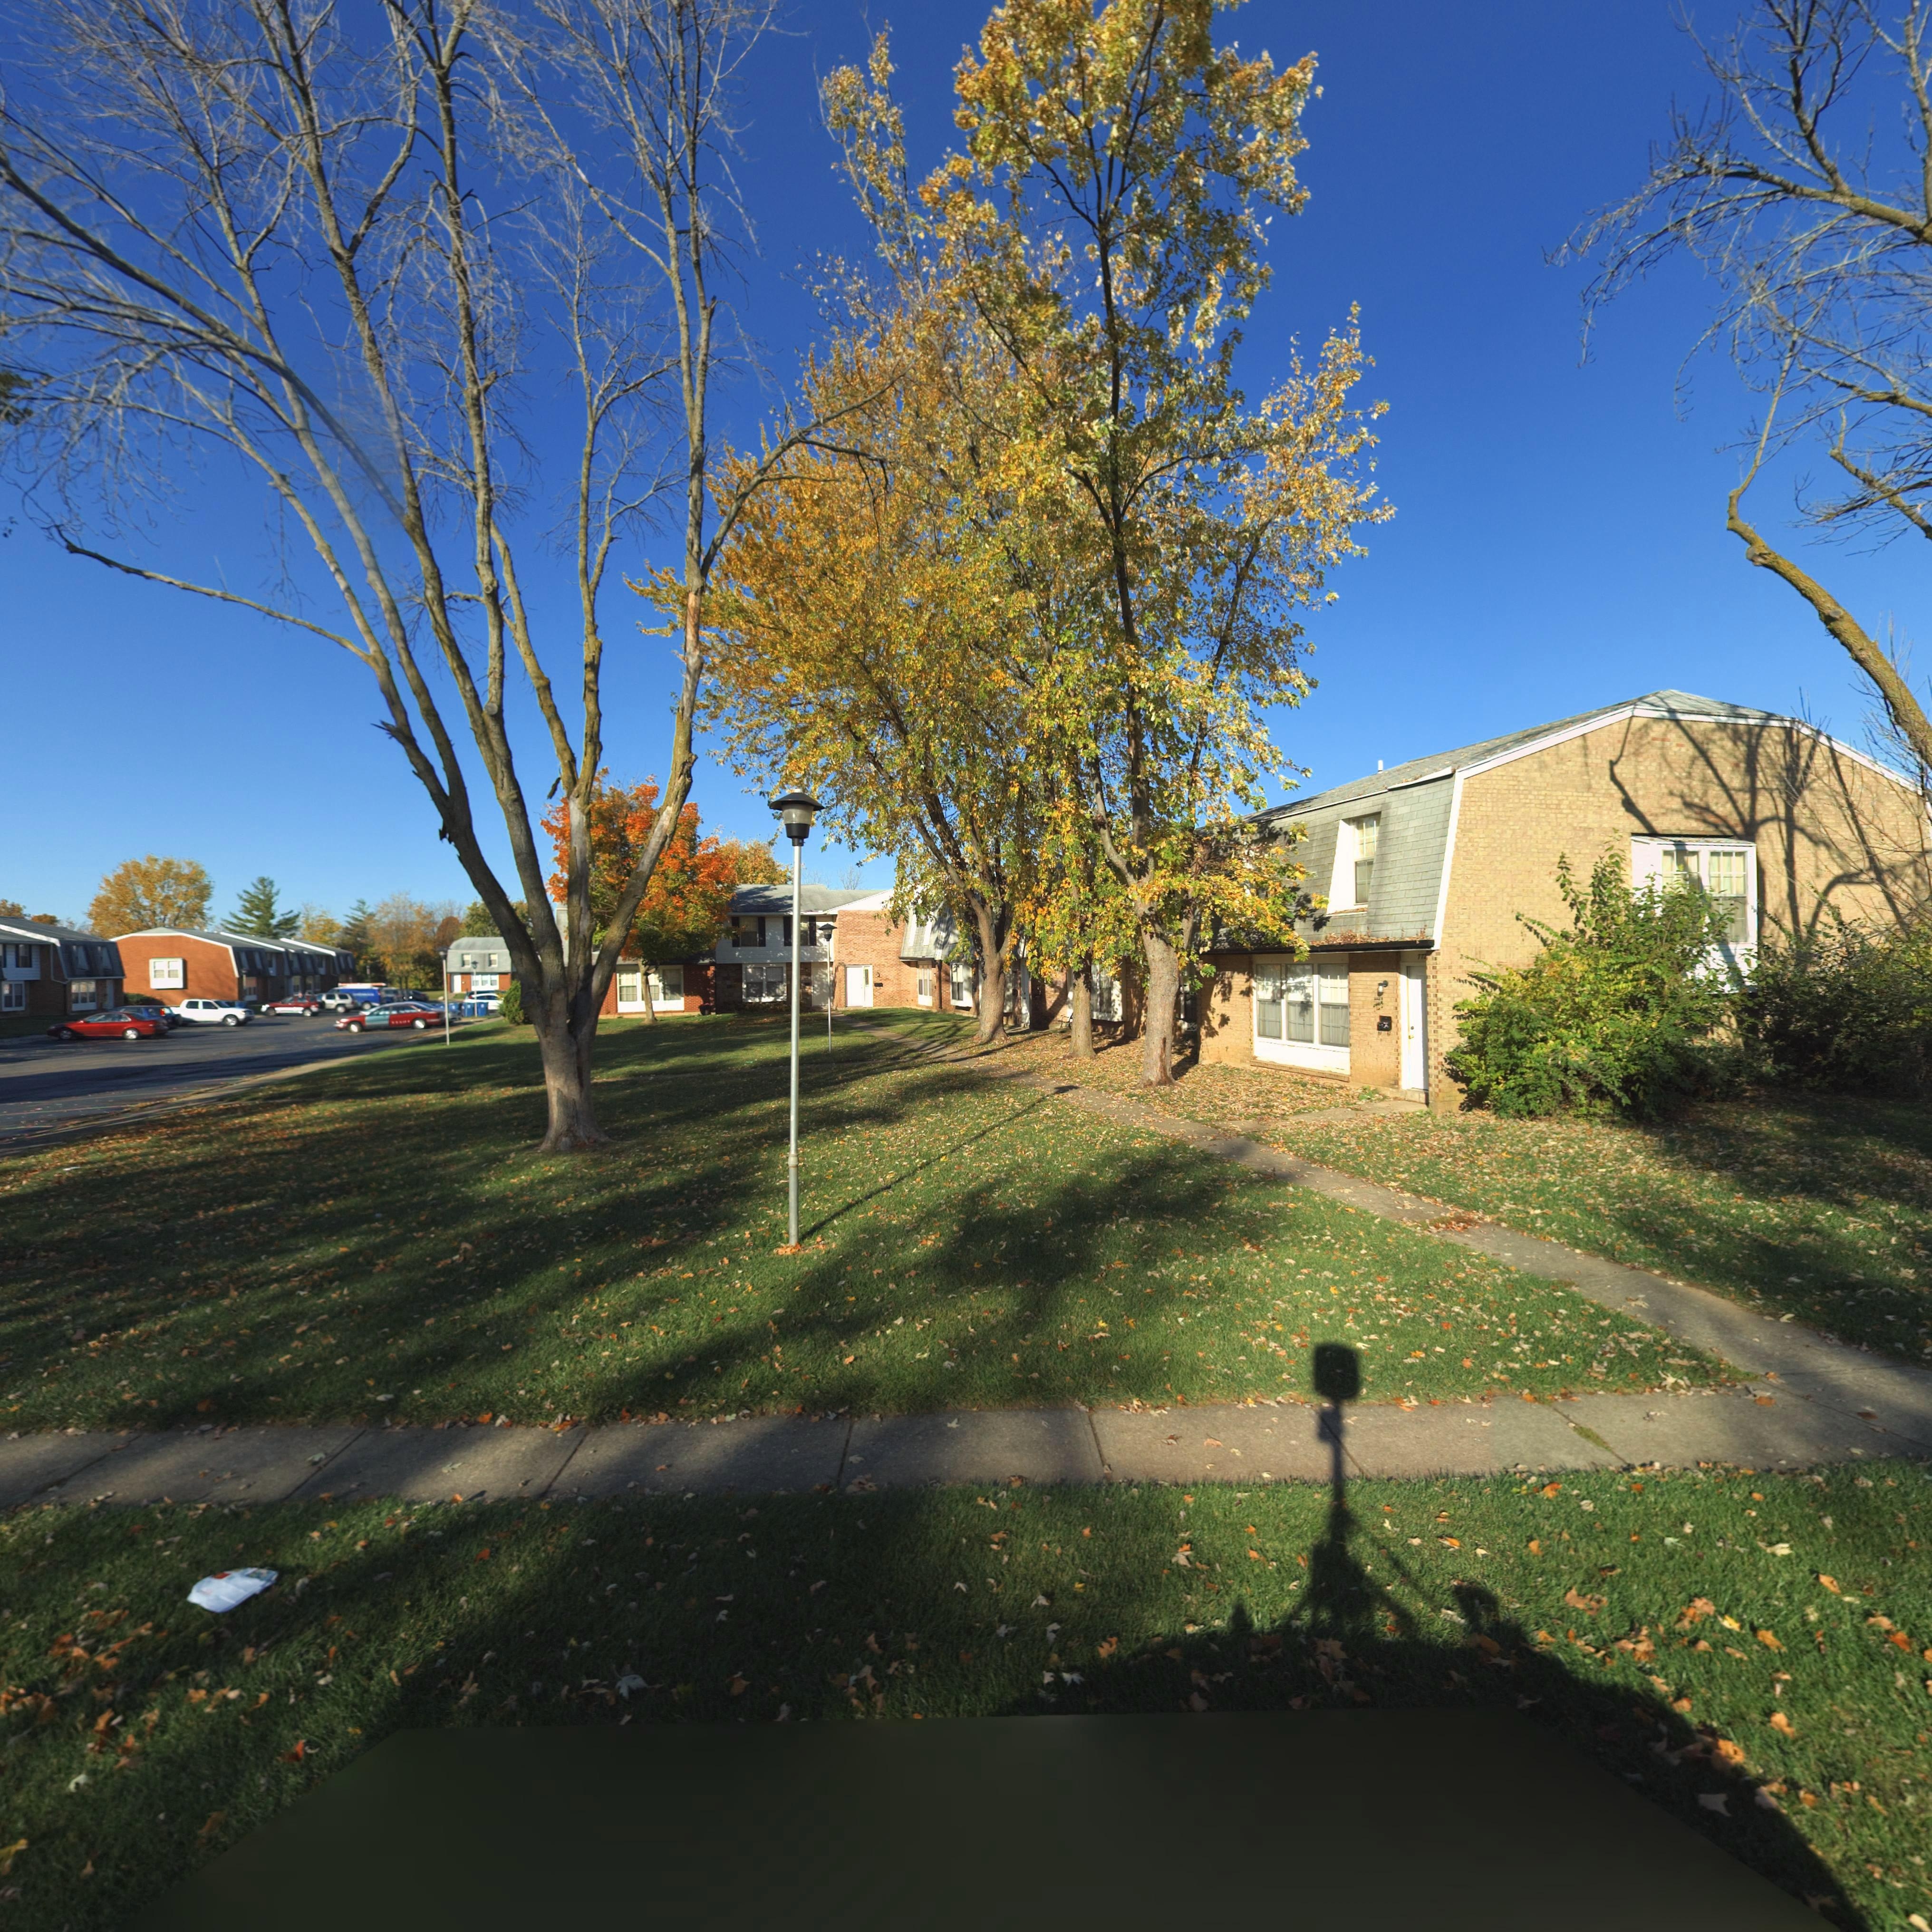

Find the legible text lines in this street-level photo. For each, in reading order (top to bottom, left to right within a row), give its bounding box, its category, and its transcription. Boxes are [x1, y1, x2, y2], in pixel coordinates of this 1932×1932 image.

[1417, 953, 1427, 960] StreetNumber: 77*